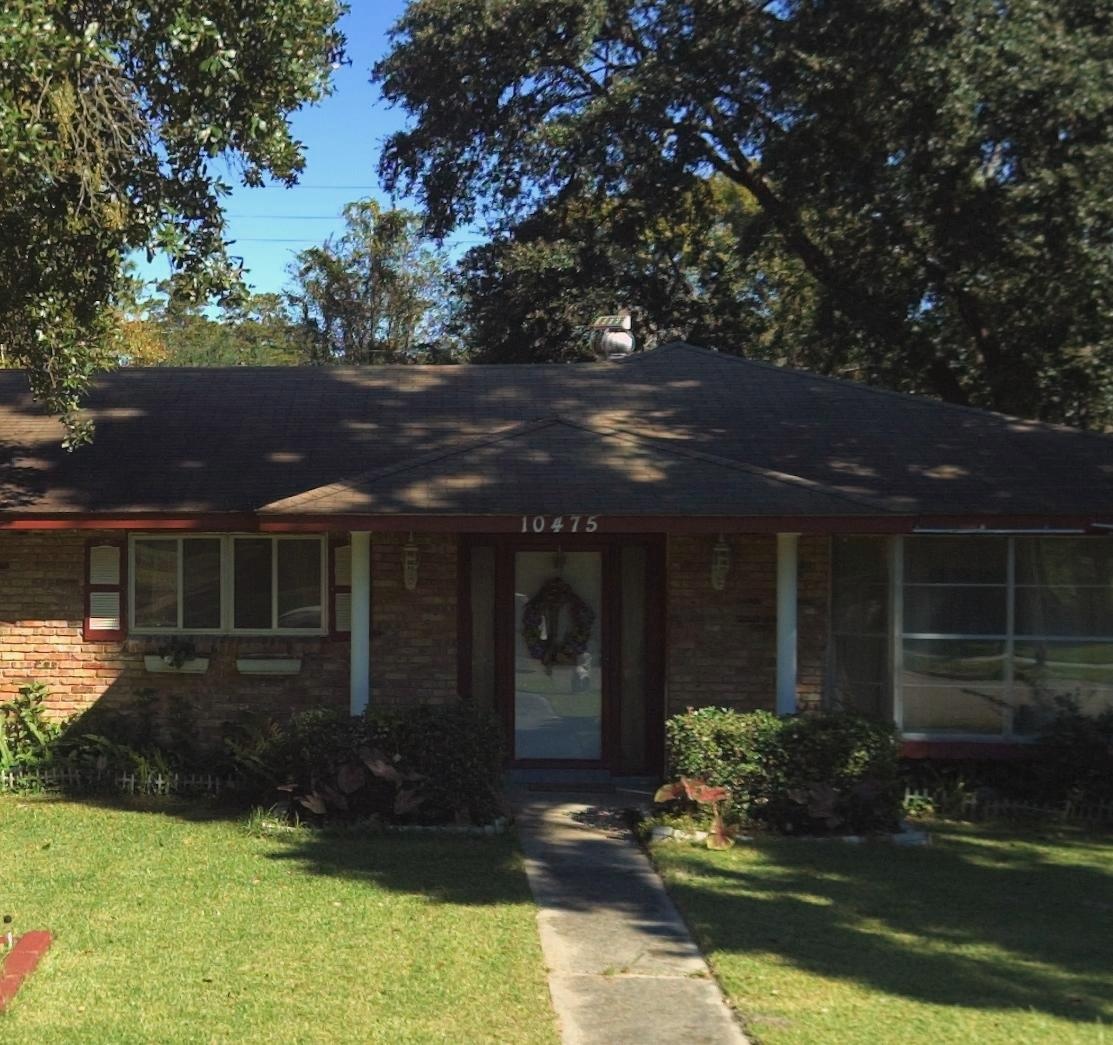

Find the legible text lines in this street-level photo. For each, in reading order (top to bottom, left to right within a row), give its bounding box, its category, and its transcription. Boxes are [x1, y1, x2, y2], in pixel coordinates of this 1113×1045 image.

[518, 513, 600, 535] StreetNumber: 10475